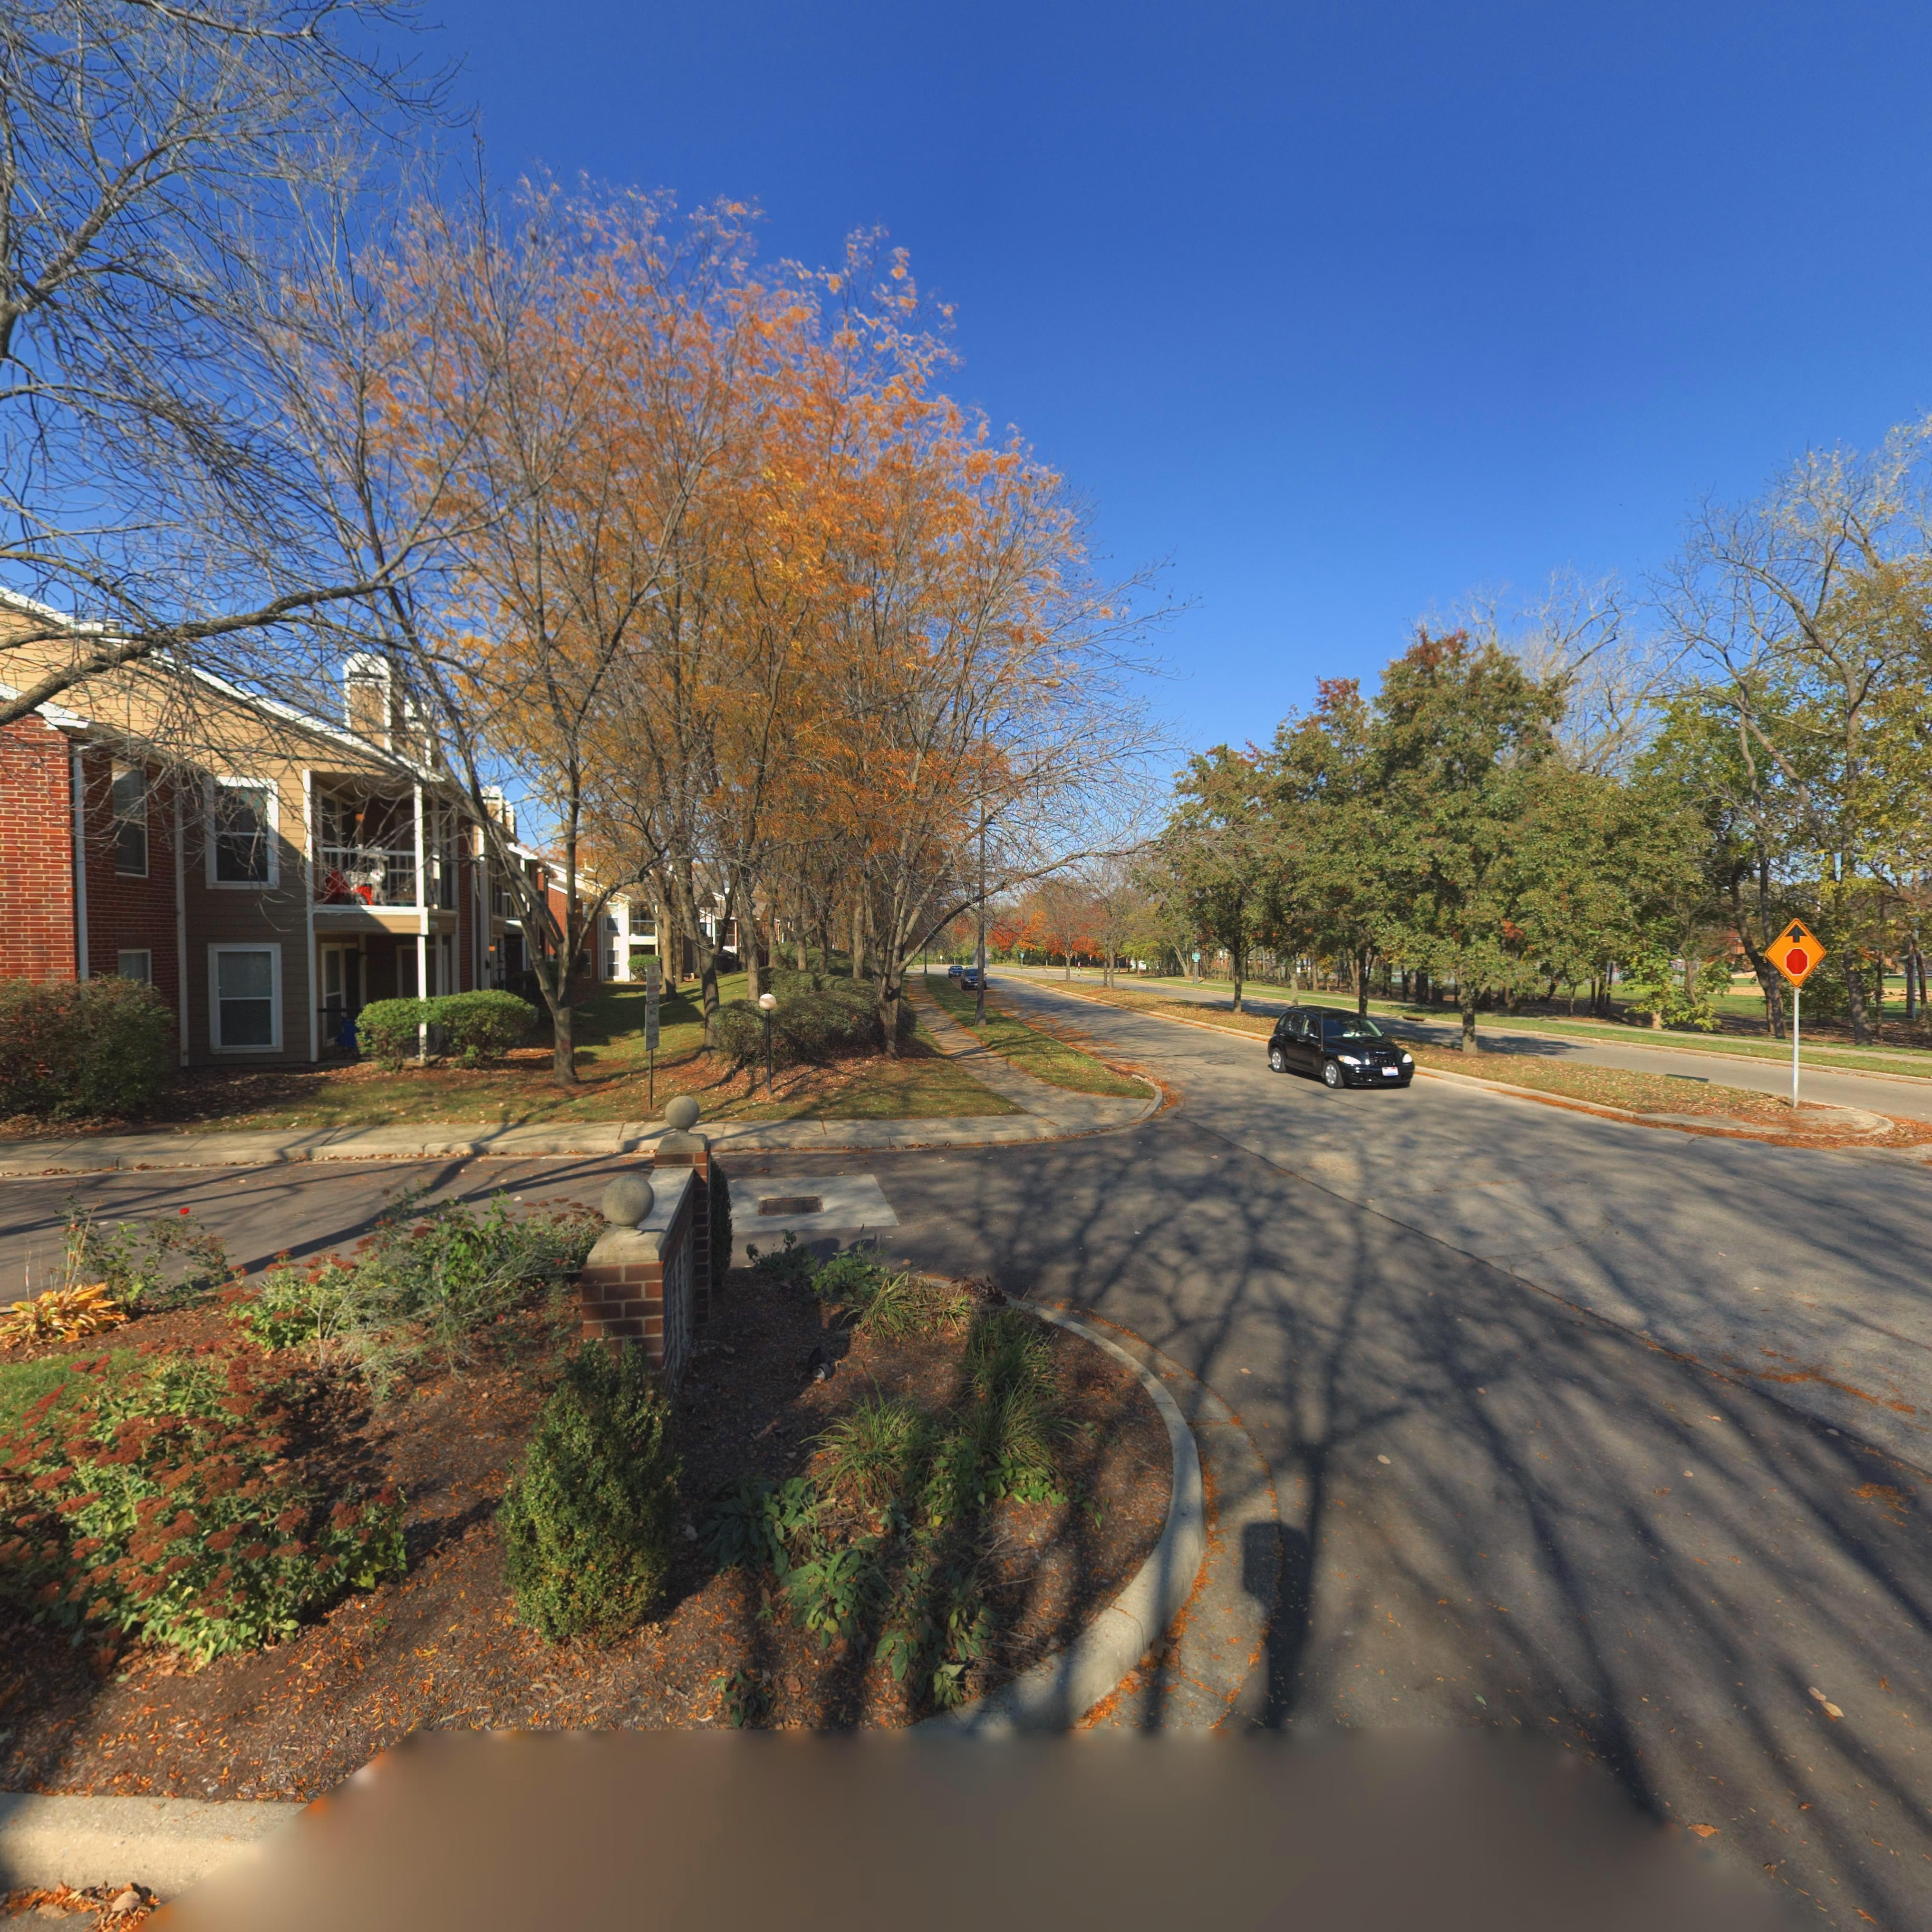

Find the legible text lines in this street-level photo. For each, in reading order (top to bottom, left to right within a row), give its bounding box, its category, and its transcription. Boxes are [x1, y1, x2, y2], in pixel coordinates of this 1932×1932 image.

[651, 966, 656, 974] None: NO
[648, 975, 657, 984] None: EVENT
[647, 984, 659, 994] None: PARKING
[649, 1007, 657, 1017] None: NO
[647, 1018, 658, 1031] None: THRU
[646, 1032, 659, 1044] None: TRAFFIC